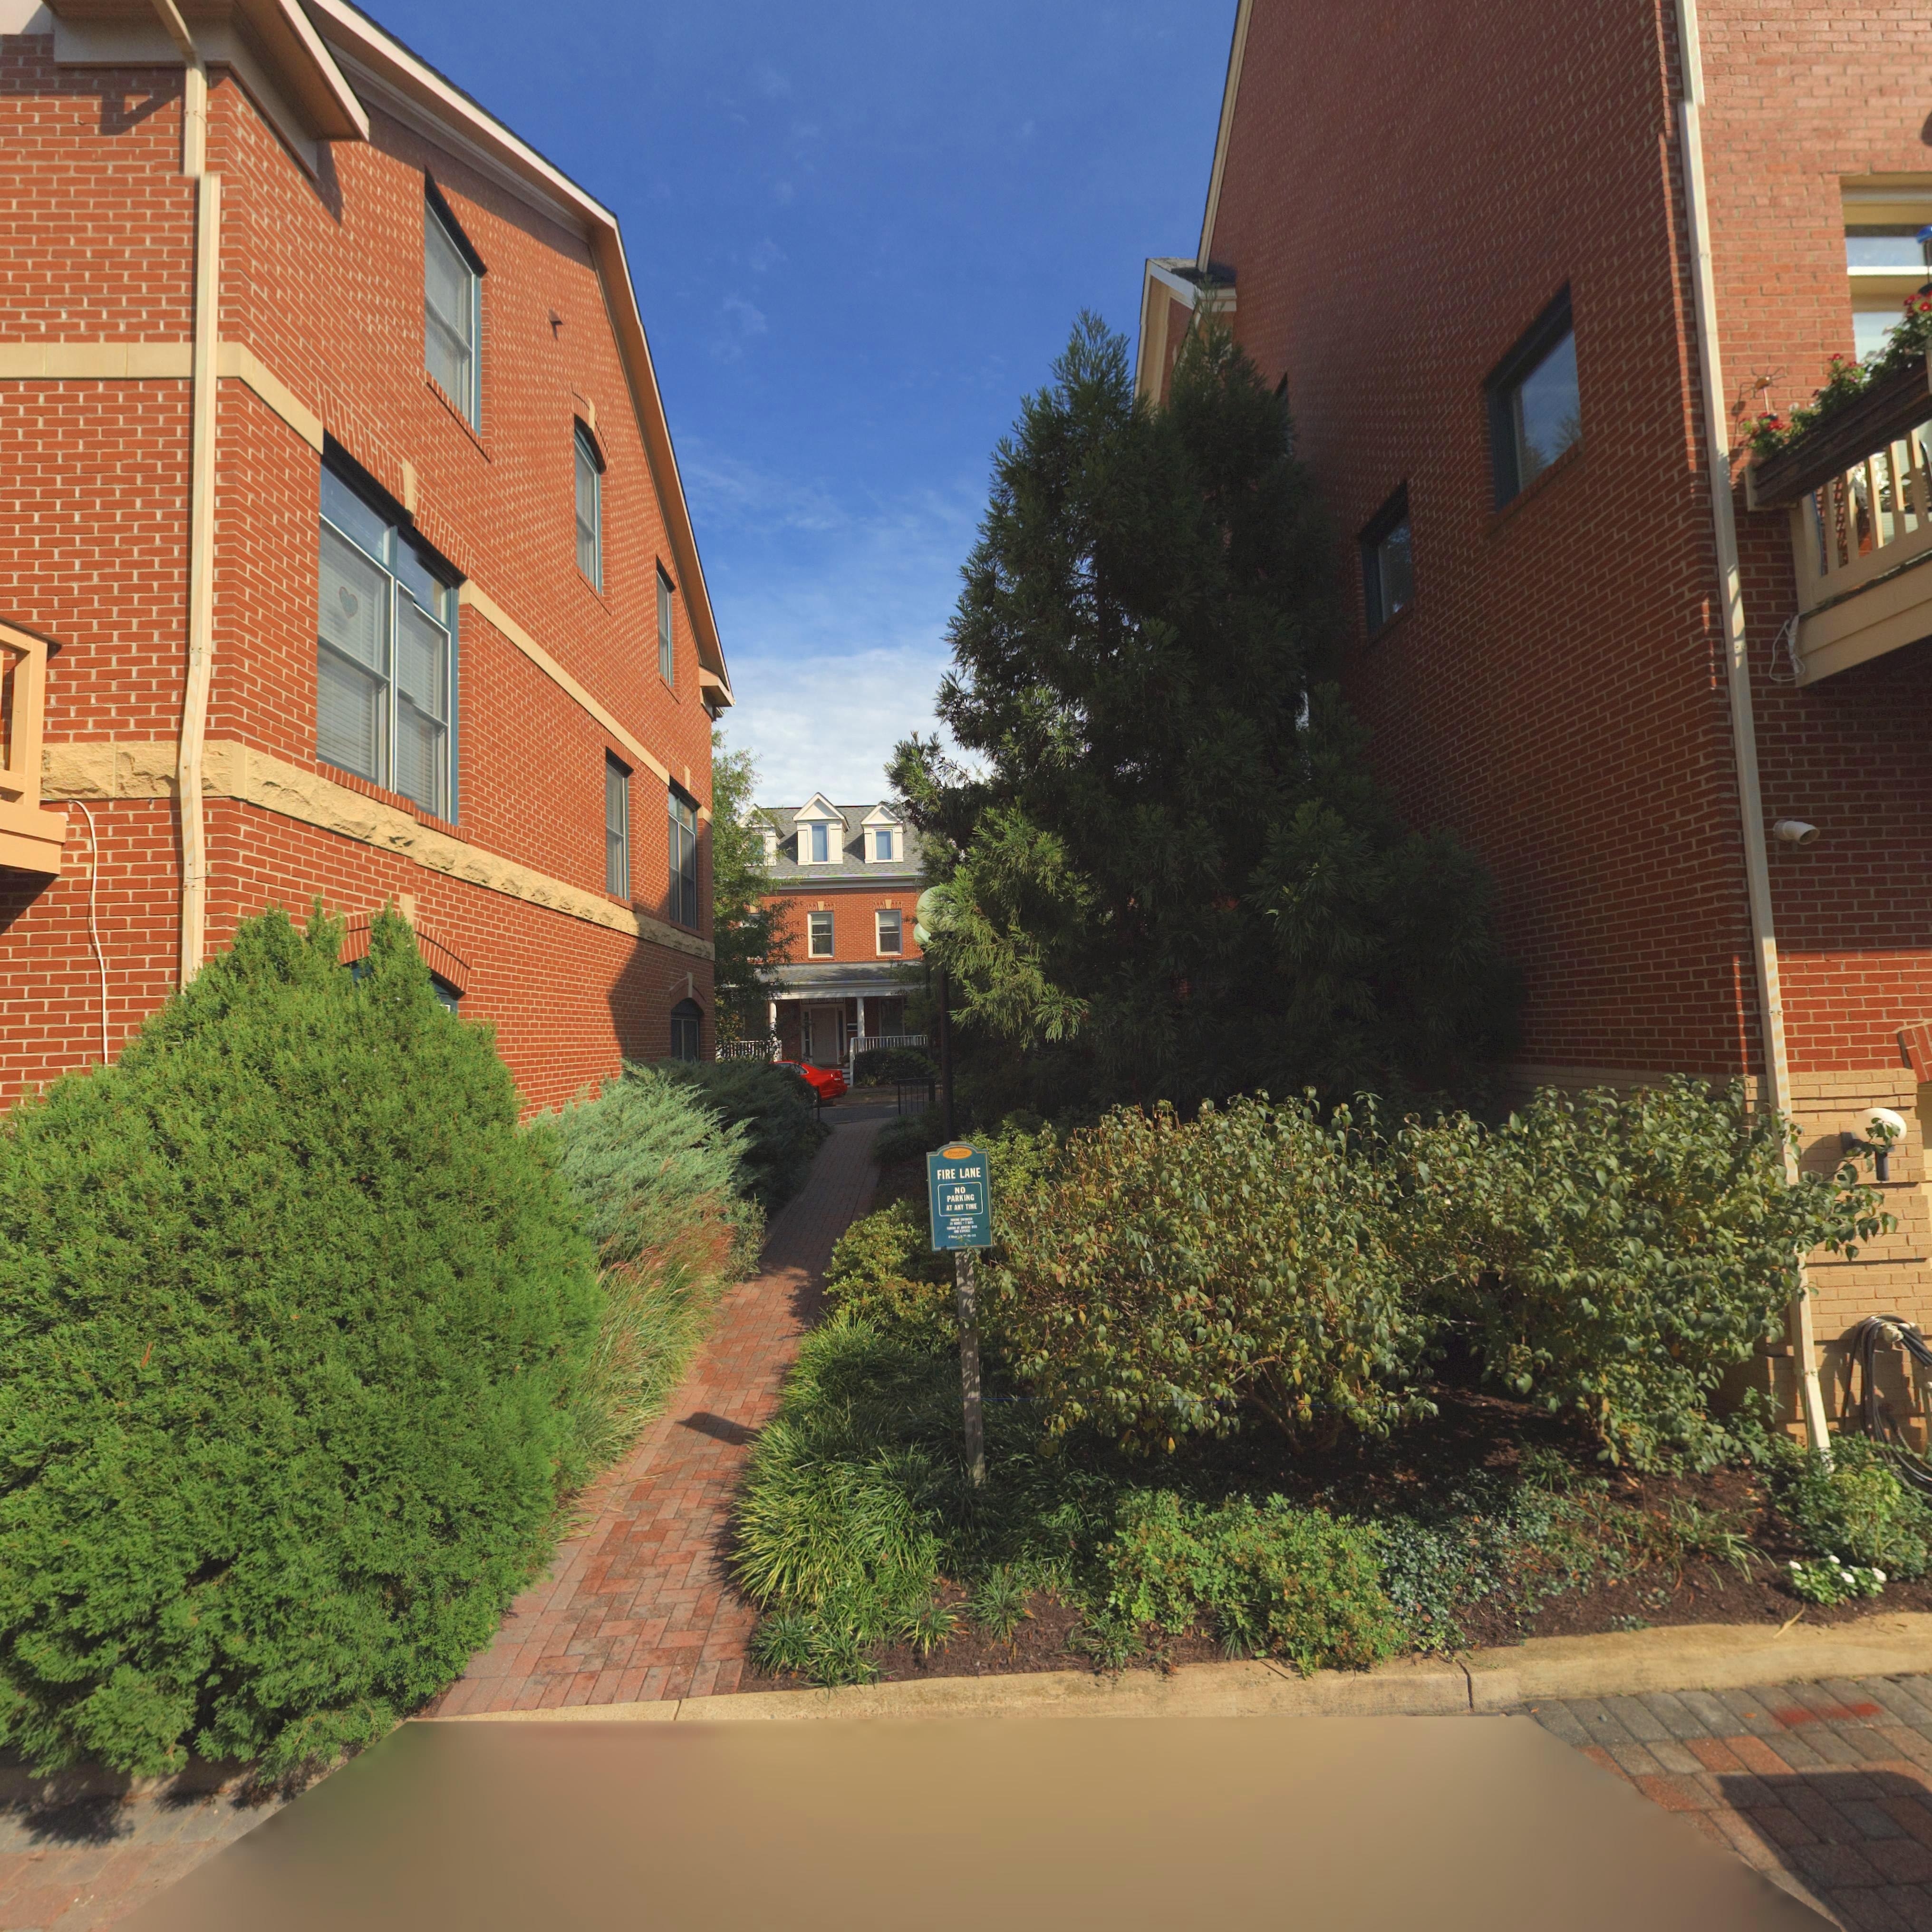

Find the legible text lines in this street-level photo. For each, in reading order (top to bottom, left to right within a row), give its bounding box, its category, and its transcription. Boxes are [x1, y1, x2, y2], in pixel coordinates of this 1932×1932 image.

[937, 1167, 981, 1180] None: FIRE LANE
[954, 1186, 966, 1194] None: NO
[947, 1193, 975, 1203] None: PARKING
[946, 1203, 978, 1212] None: AT ANY TIME